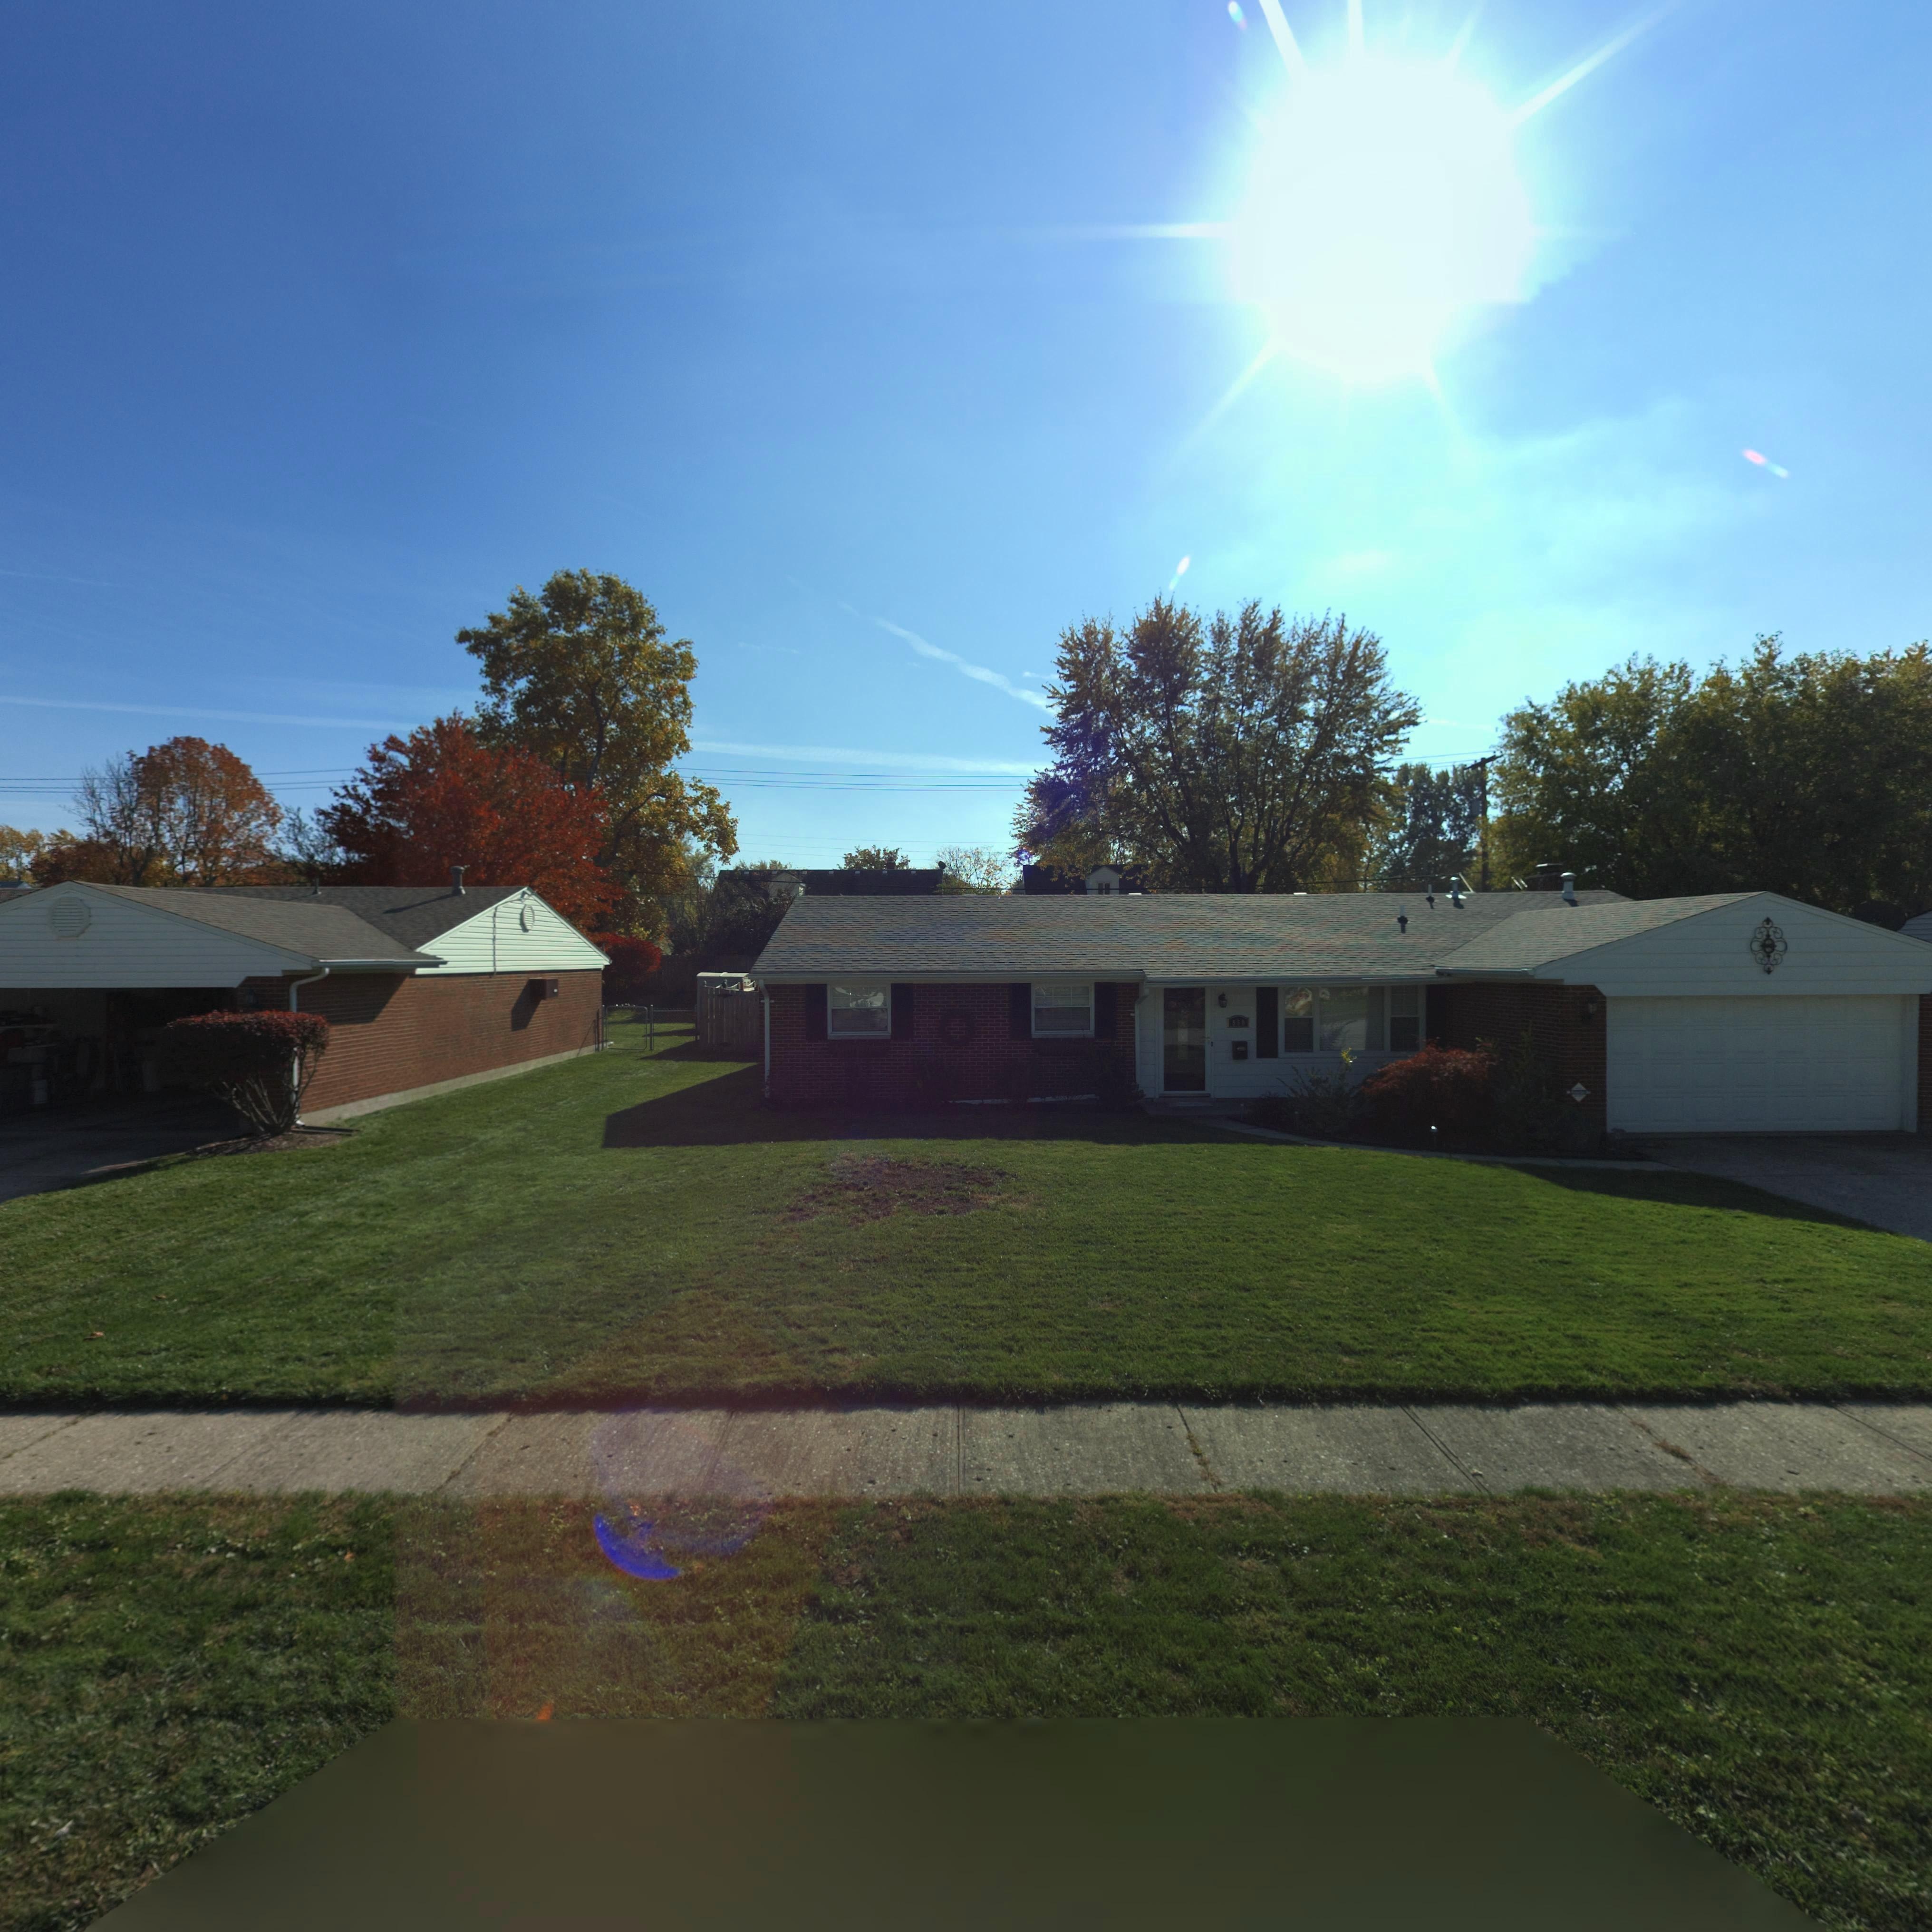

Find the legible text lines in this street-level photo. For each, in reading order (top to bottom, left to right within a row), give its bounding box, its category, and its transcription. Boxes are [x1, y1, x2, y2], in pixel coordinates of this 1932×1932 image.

[1231, 1018, 1246, 1026] StreetNumber: 95*